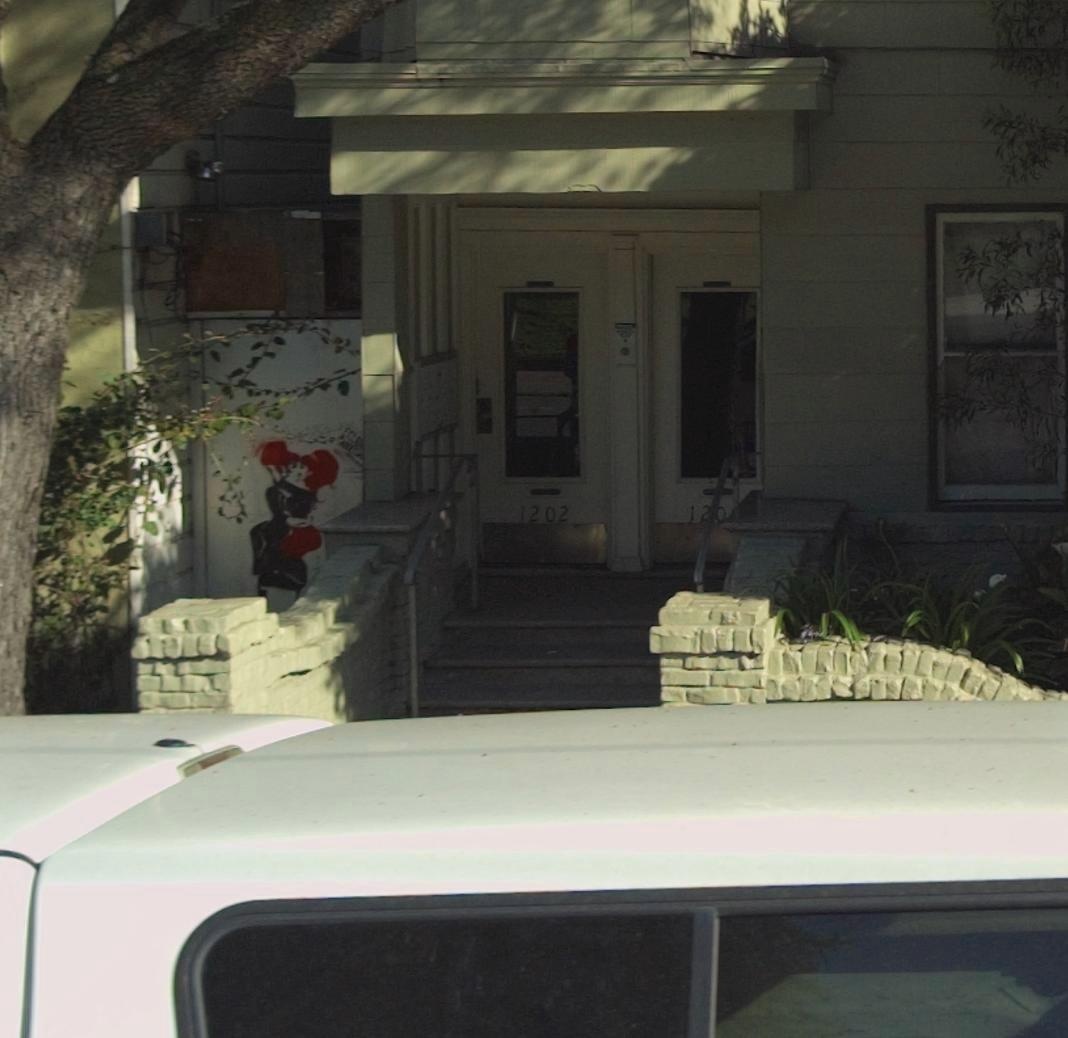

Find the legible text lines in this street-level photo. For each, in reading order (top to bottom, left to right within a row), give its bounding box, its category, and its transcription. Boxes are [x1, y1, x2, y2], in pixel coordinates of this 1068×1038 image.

[518, 503, 570, 525] StreetNumber: 1202
[689, 503, 729, 522] StreetNumber: 120